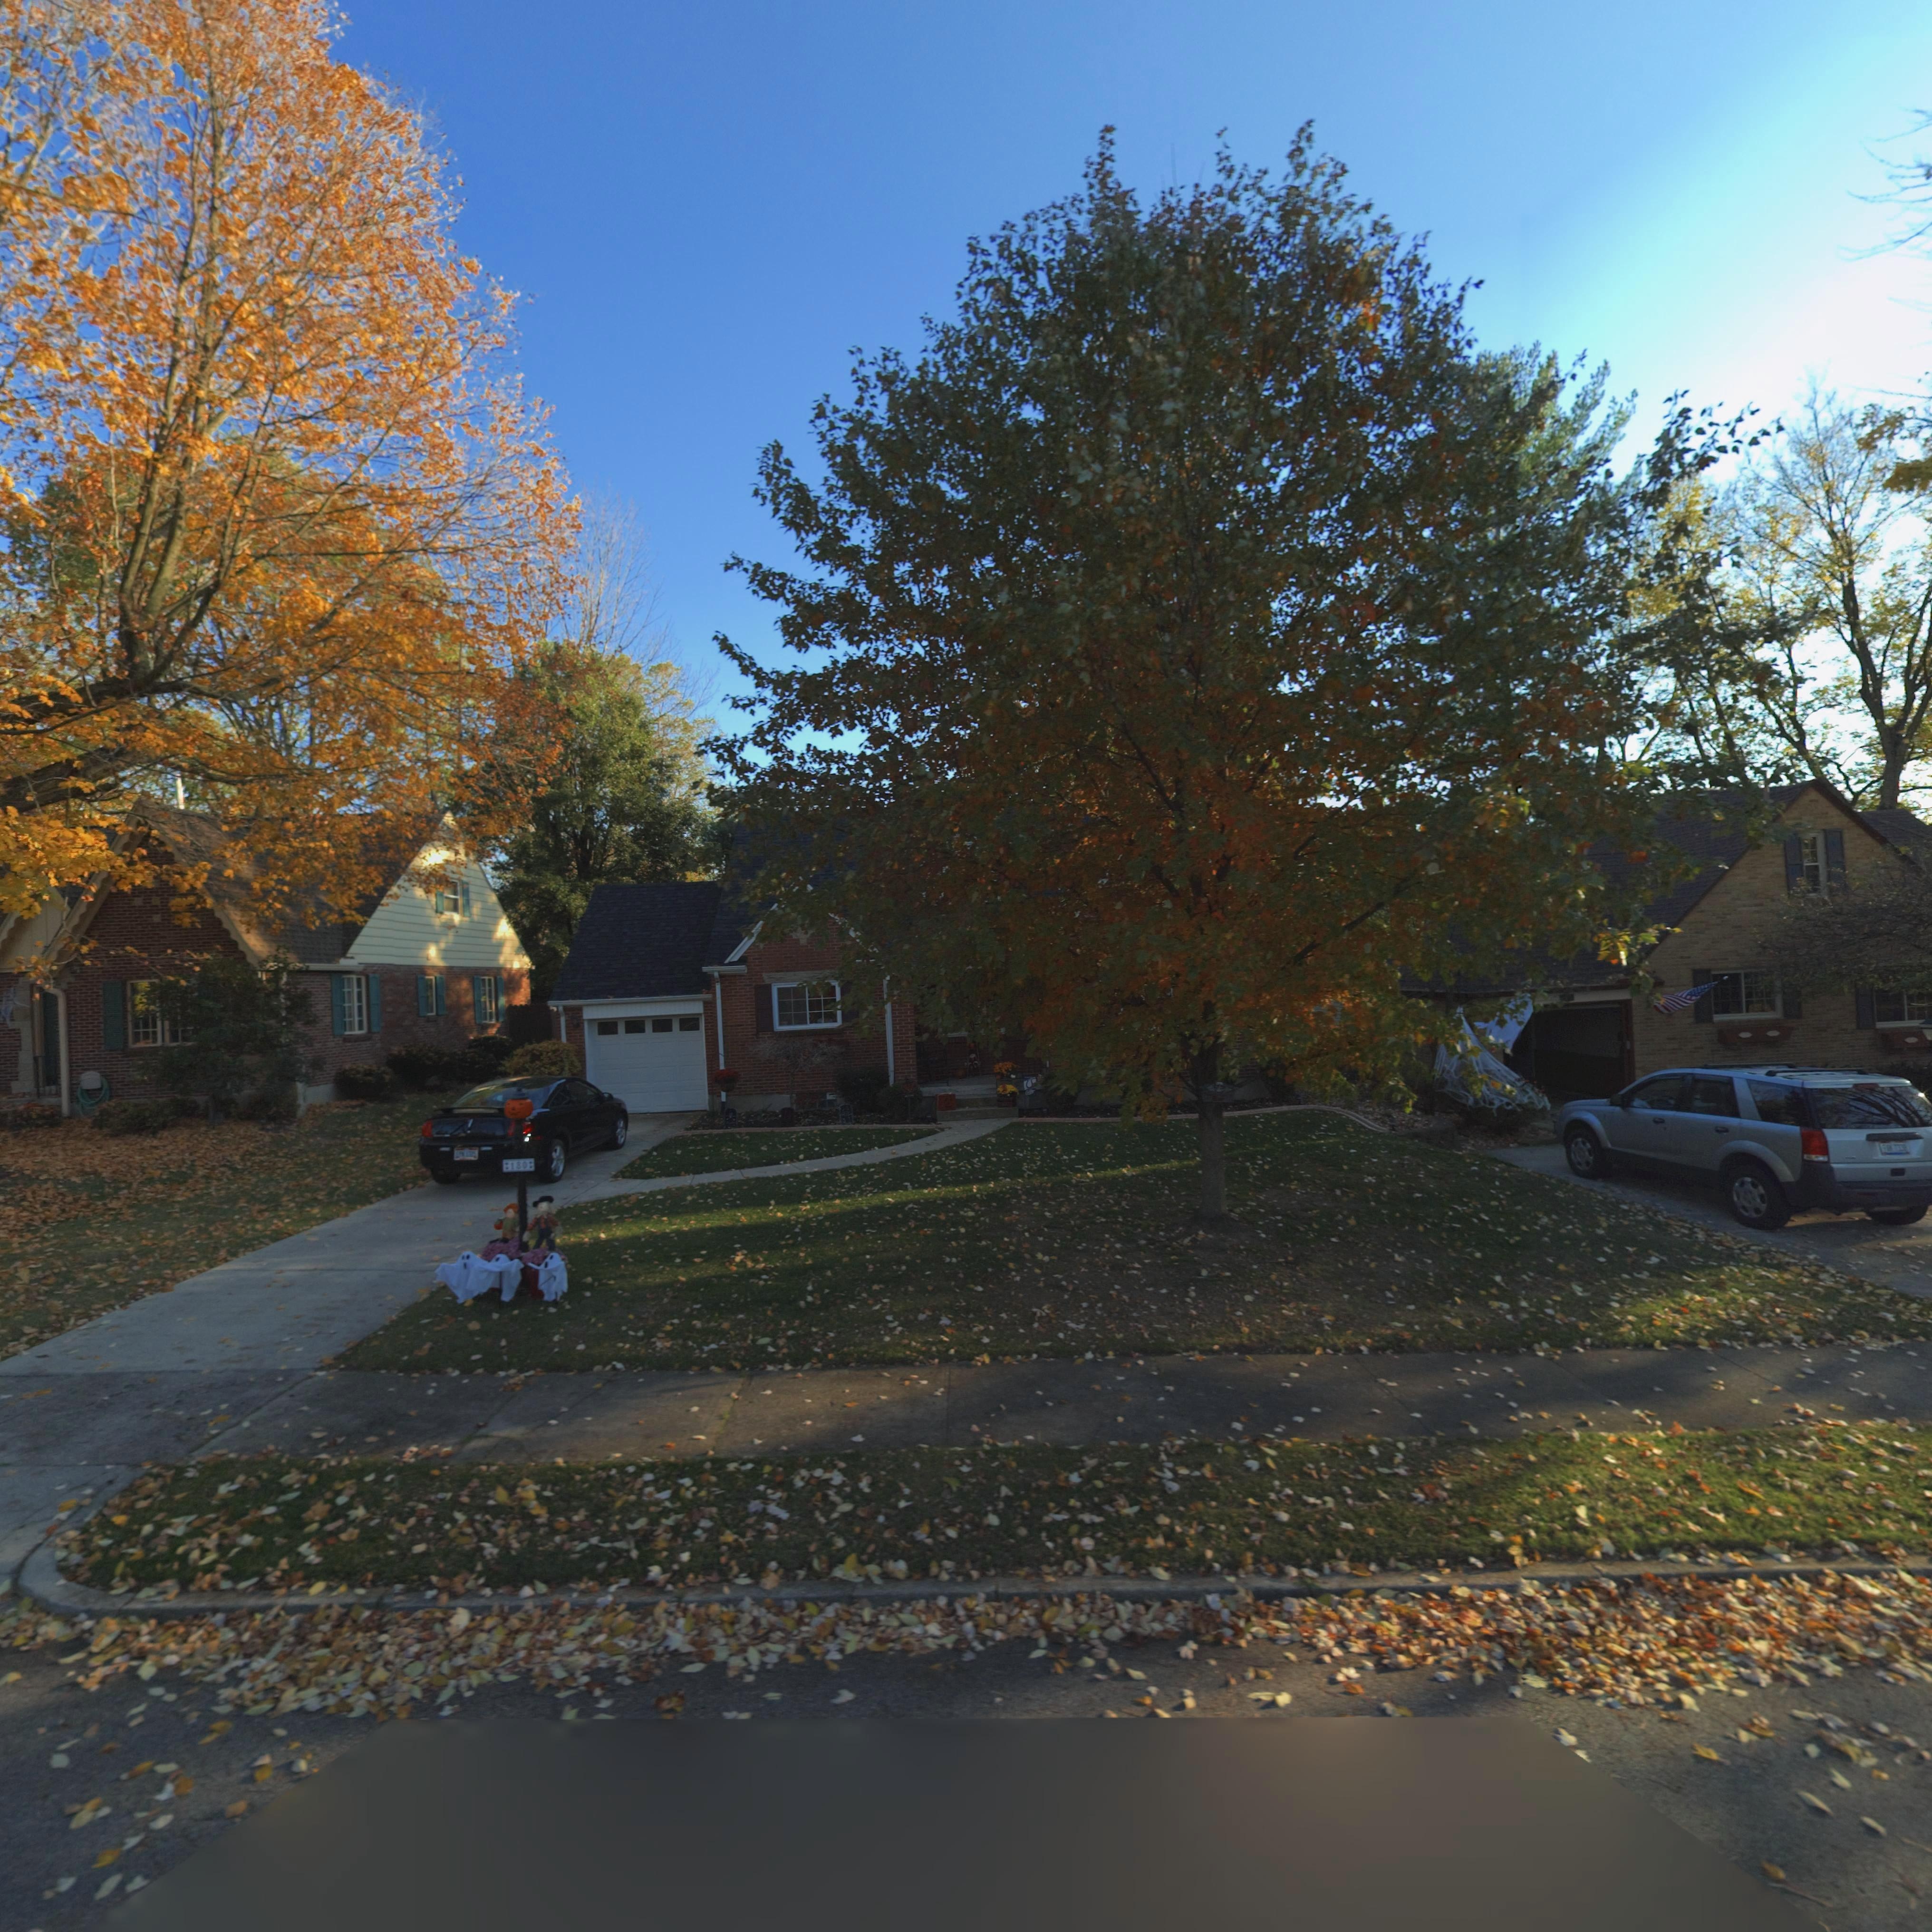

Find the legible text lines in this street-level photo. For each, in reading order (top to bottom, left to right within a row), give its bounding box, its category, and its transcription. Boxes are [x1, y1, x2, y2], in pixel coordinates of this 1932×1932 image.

[511, 1161, 528, 1170] StreetNumber: 180